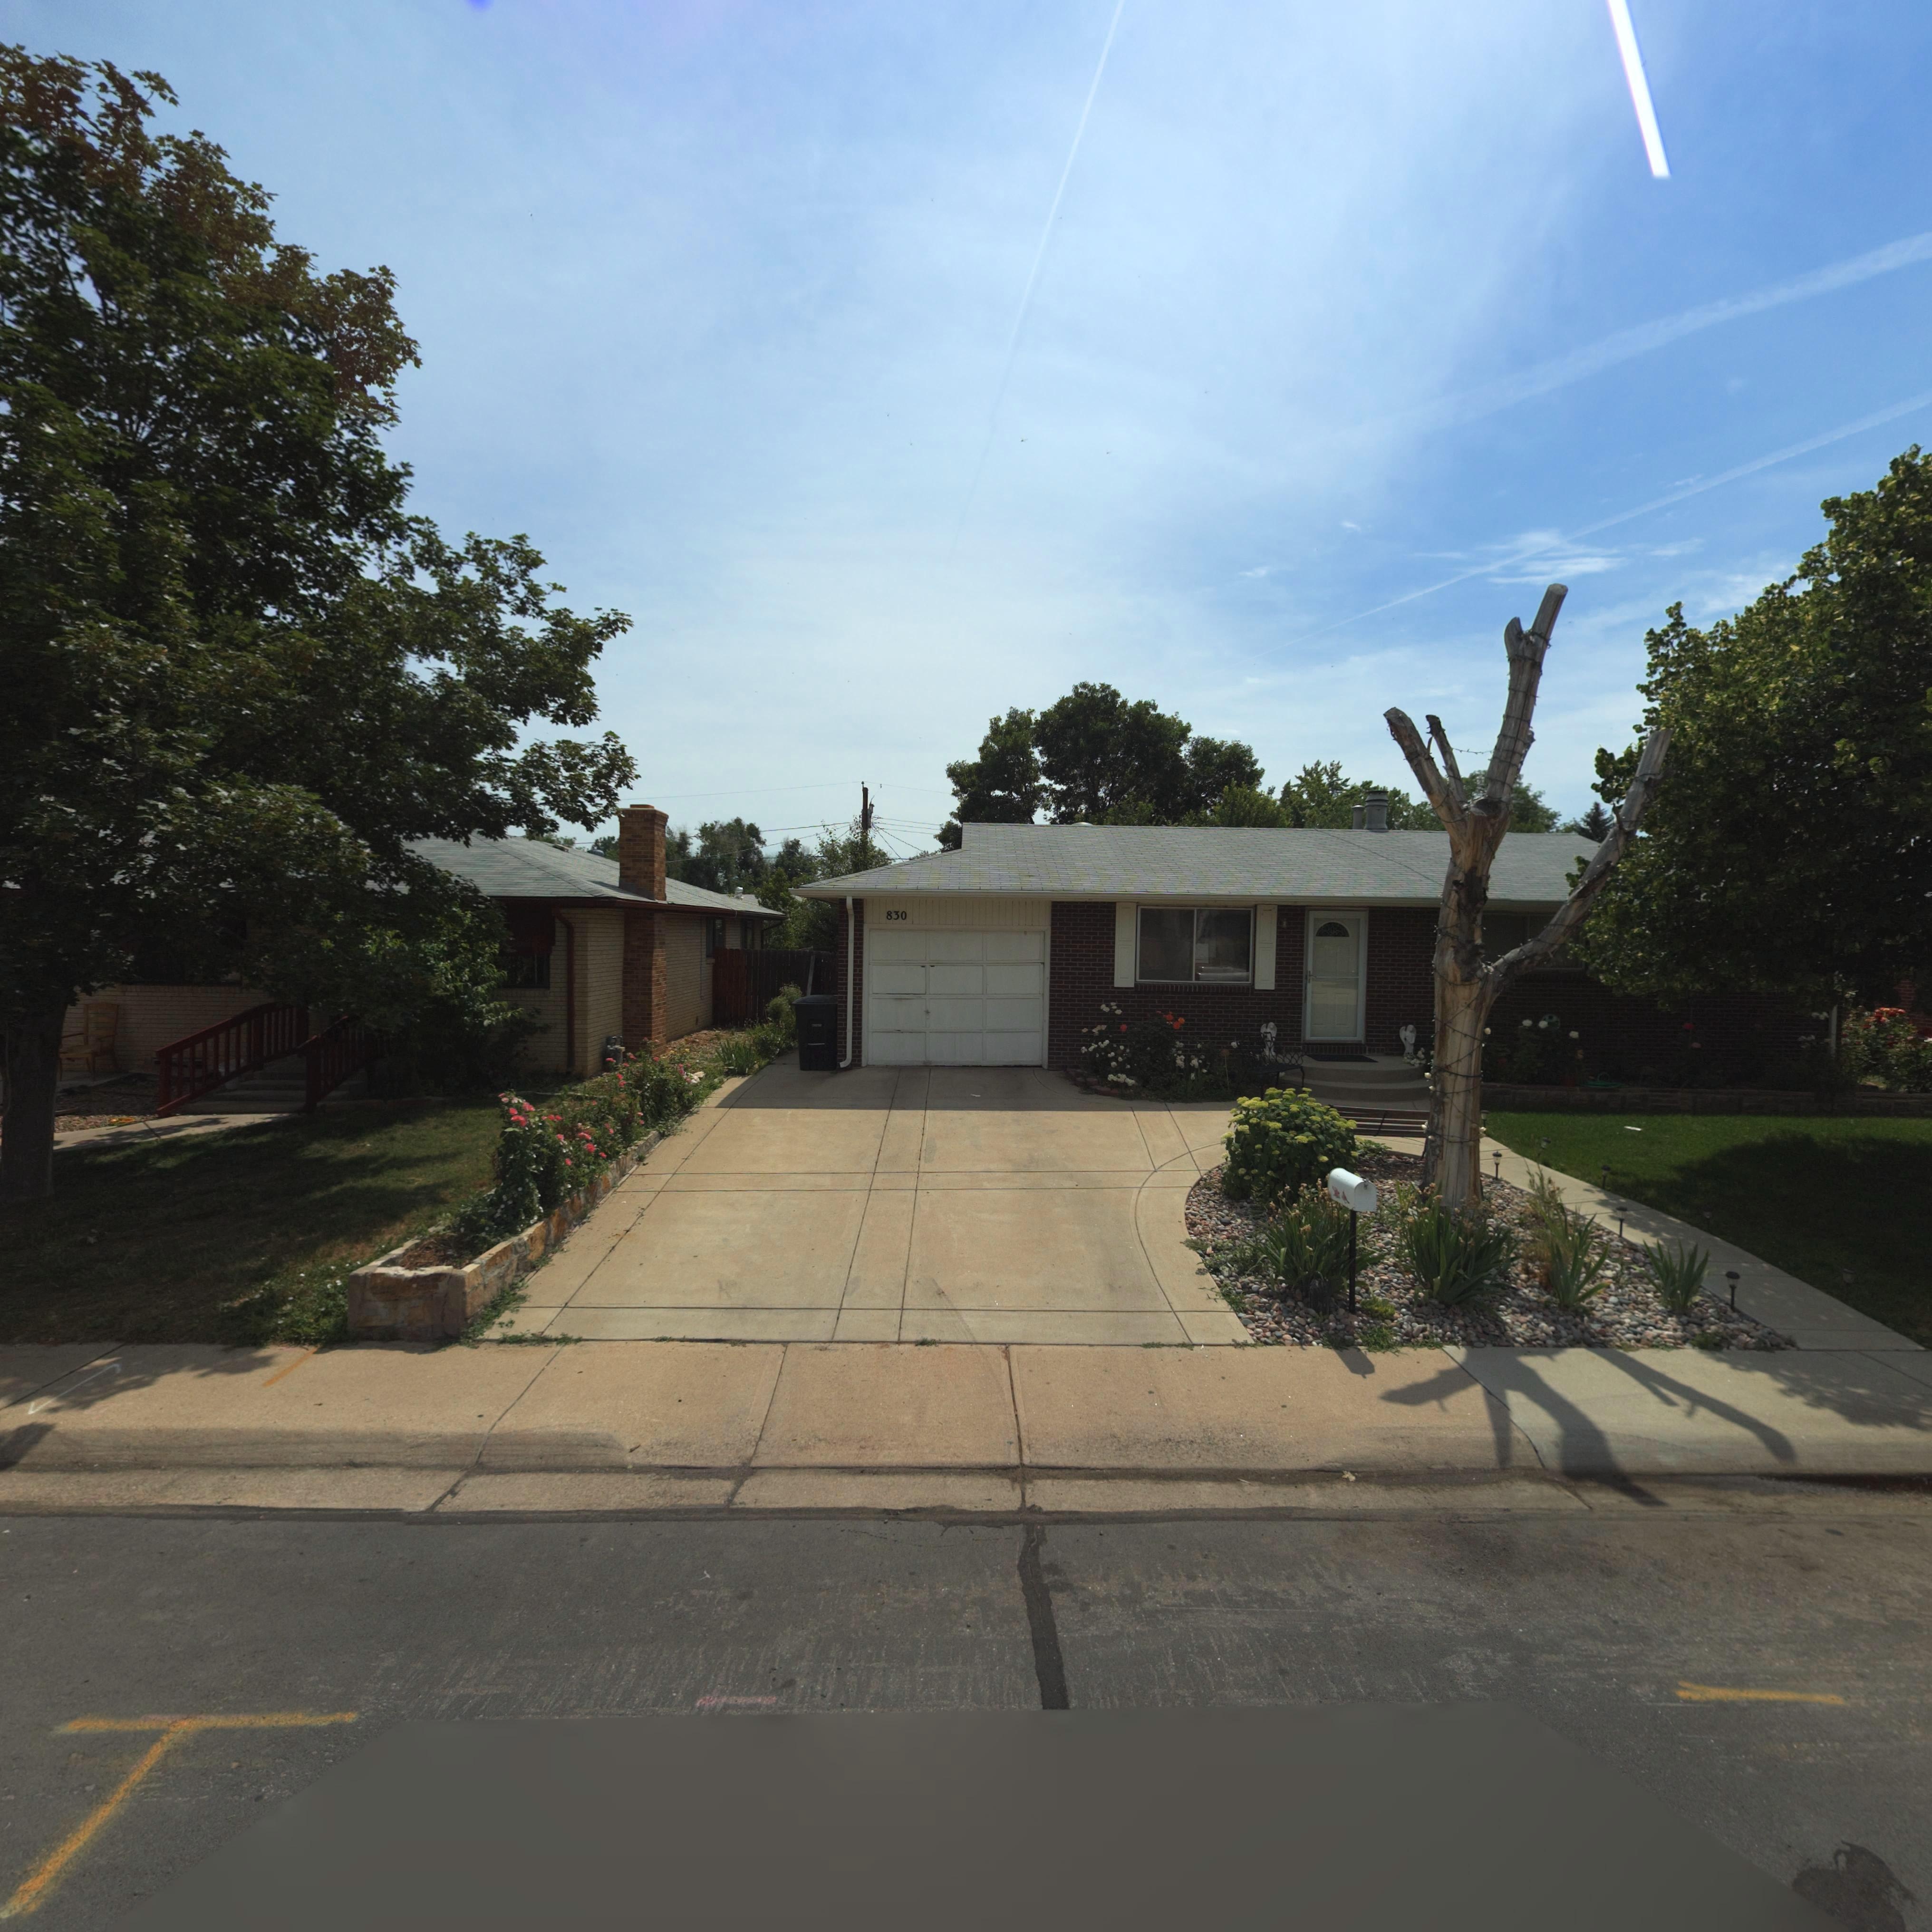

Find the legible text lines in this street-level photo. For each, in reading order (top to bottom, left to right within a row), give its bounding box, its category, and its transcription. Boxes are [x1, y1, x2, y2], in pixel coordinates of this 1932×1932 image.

[886, 910, 907, 920] StreetNumber: 830